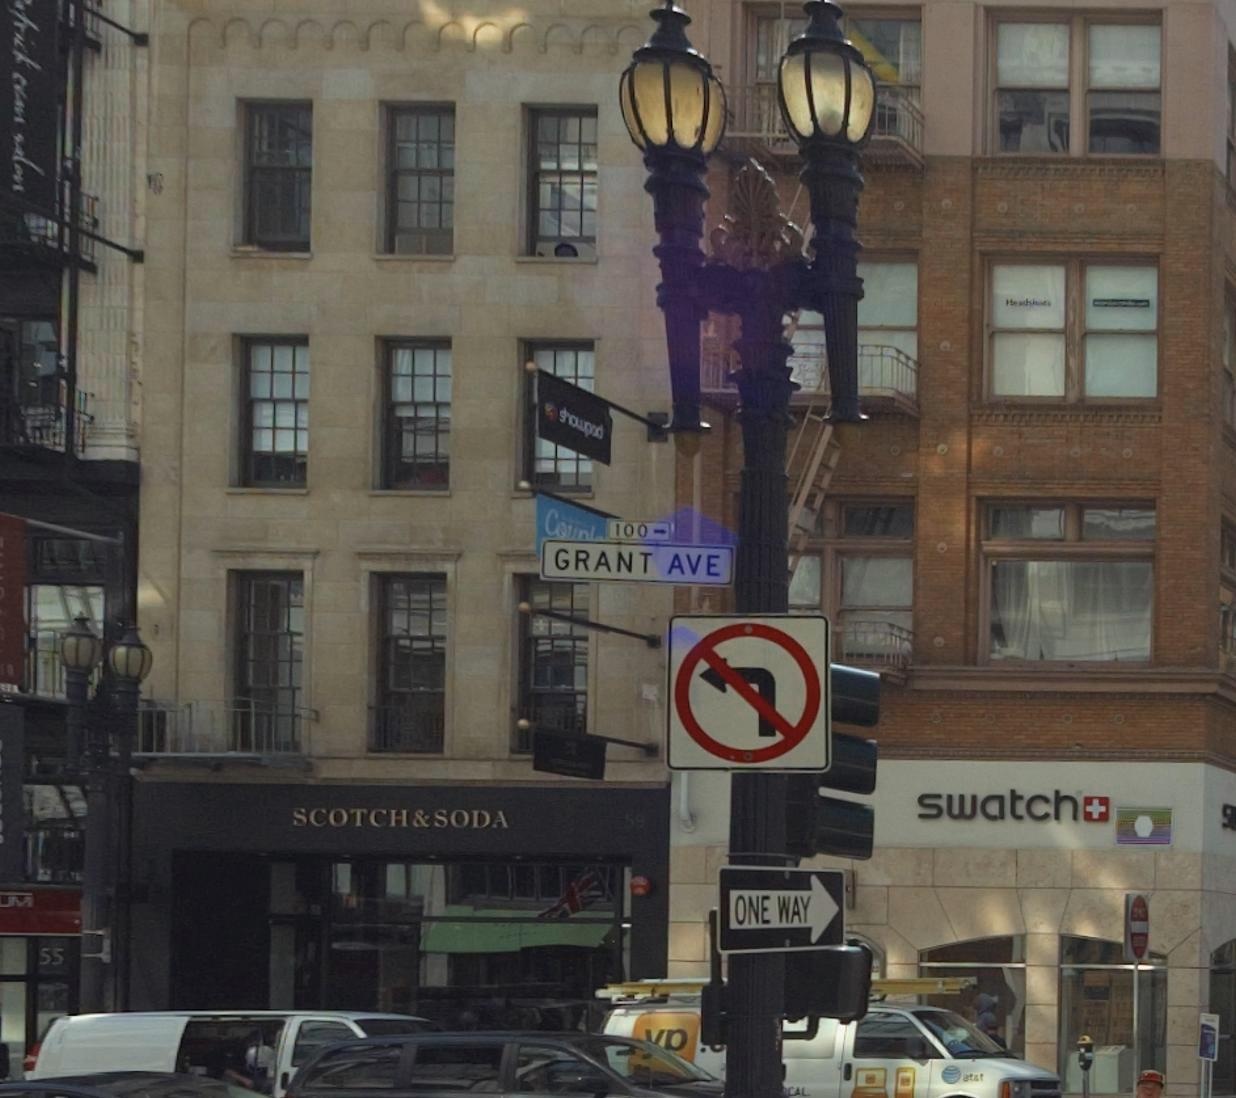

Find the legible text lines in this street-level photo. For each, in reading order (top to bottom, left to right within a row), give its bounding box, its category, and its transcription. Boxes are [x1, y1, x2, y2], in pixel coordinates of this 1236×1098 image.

[8, 25, 45, 74] BusinessName: ick
[9, 129, 53, 197] BusinessName: *alon
[555, 402, 608, 444] None: **oup*d
[543, 504, 569, 541] None: Co
[613, 520, 670, 541] StreetNumber: 100->
[551, 545, 723, 580] StreetName: GRANT AVE
[290, 805, 512, 831] BusinessName: SCOTCH & SODA
[622, 809, 649, 832] StreetNumber: 59
[915, 786, 1082, 824] BusinessName: swatch
[1221, 801, 1234, 832] None: S
[9, 892, 36, 910] BusinessName: M
[732, 892, 814, 931] None: ONE WAY
[36, 944, 67, 968] StreetNumber: 55